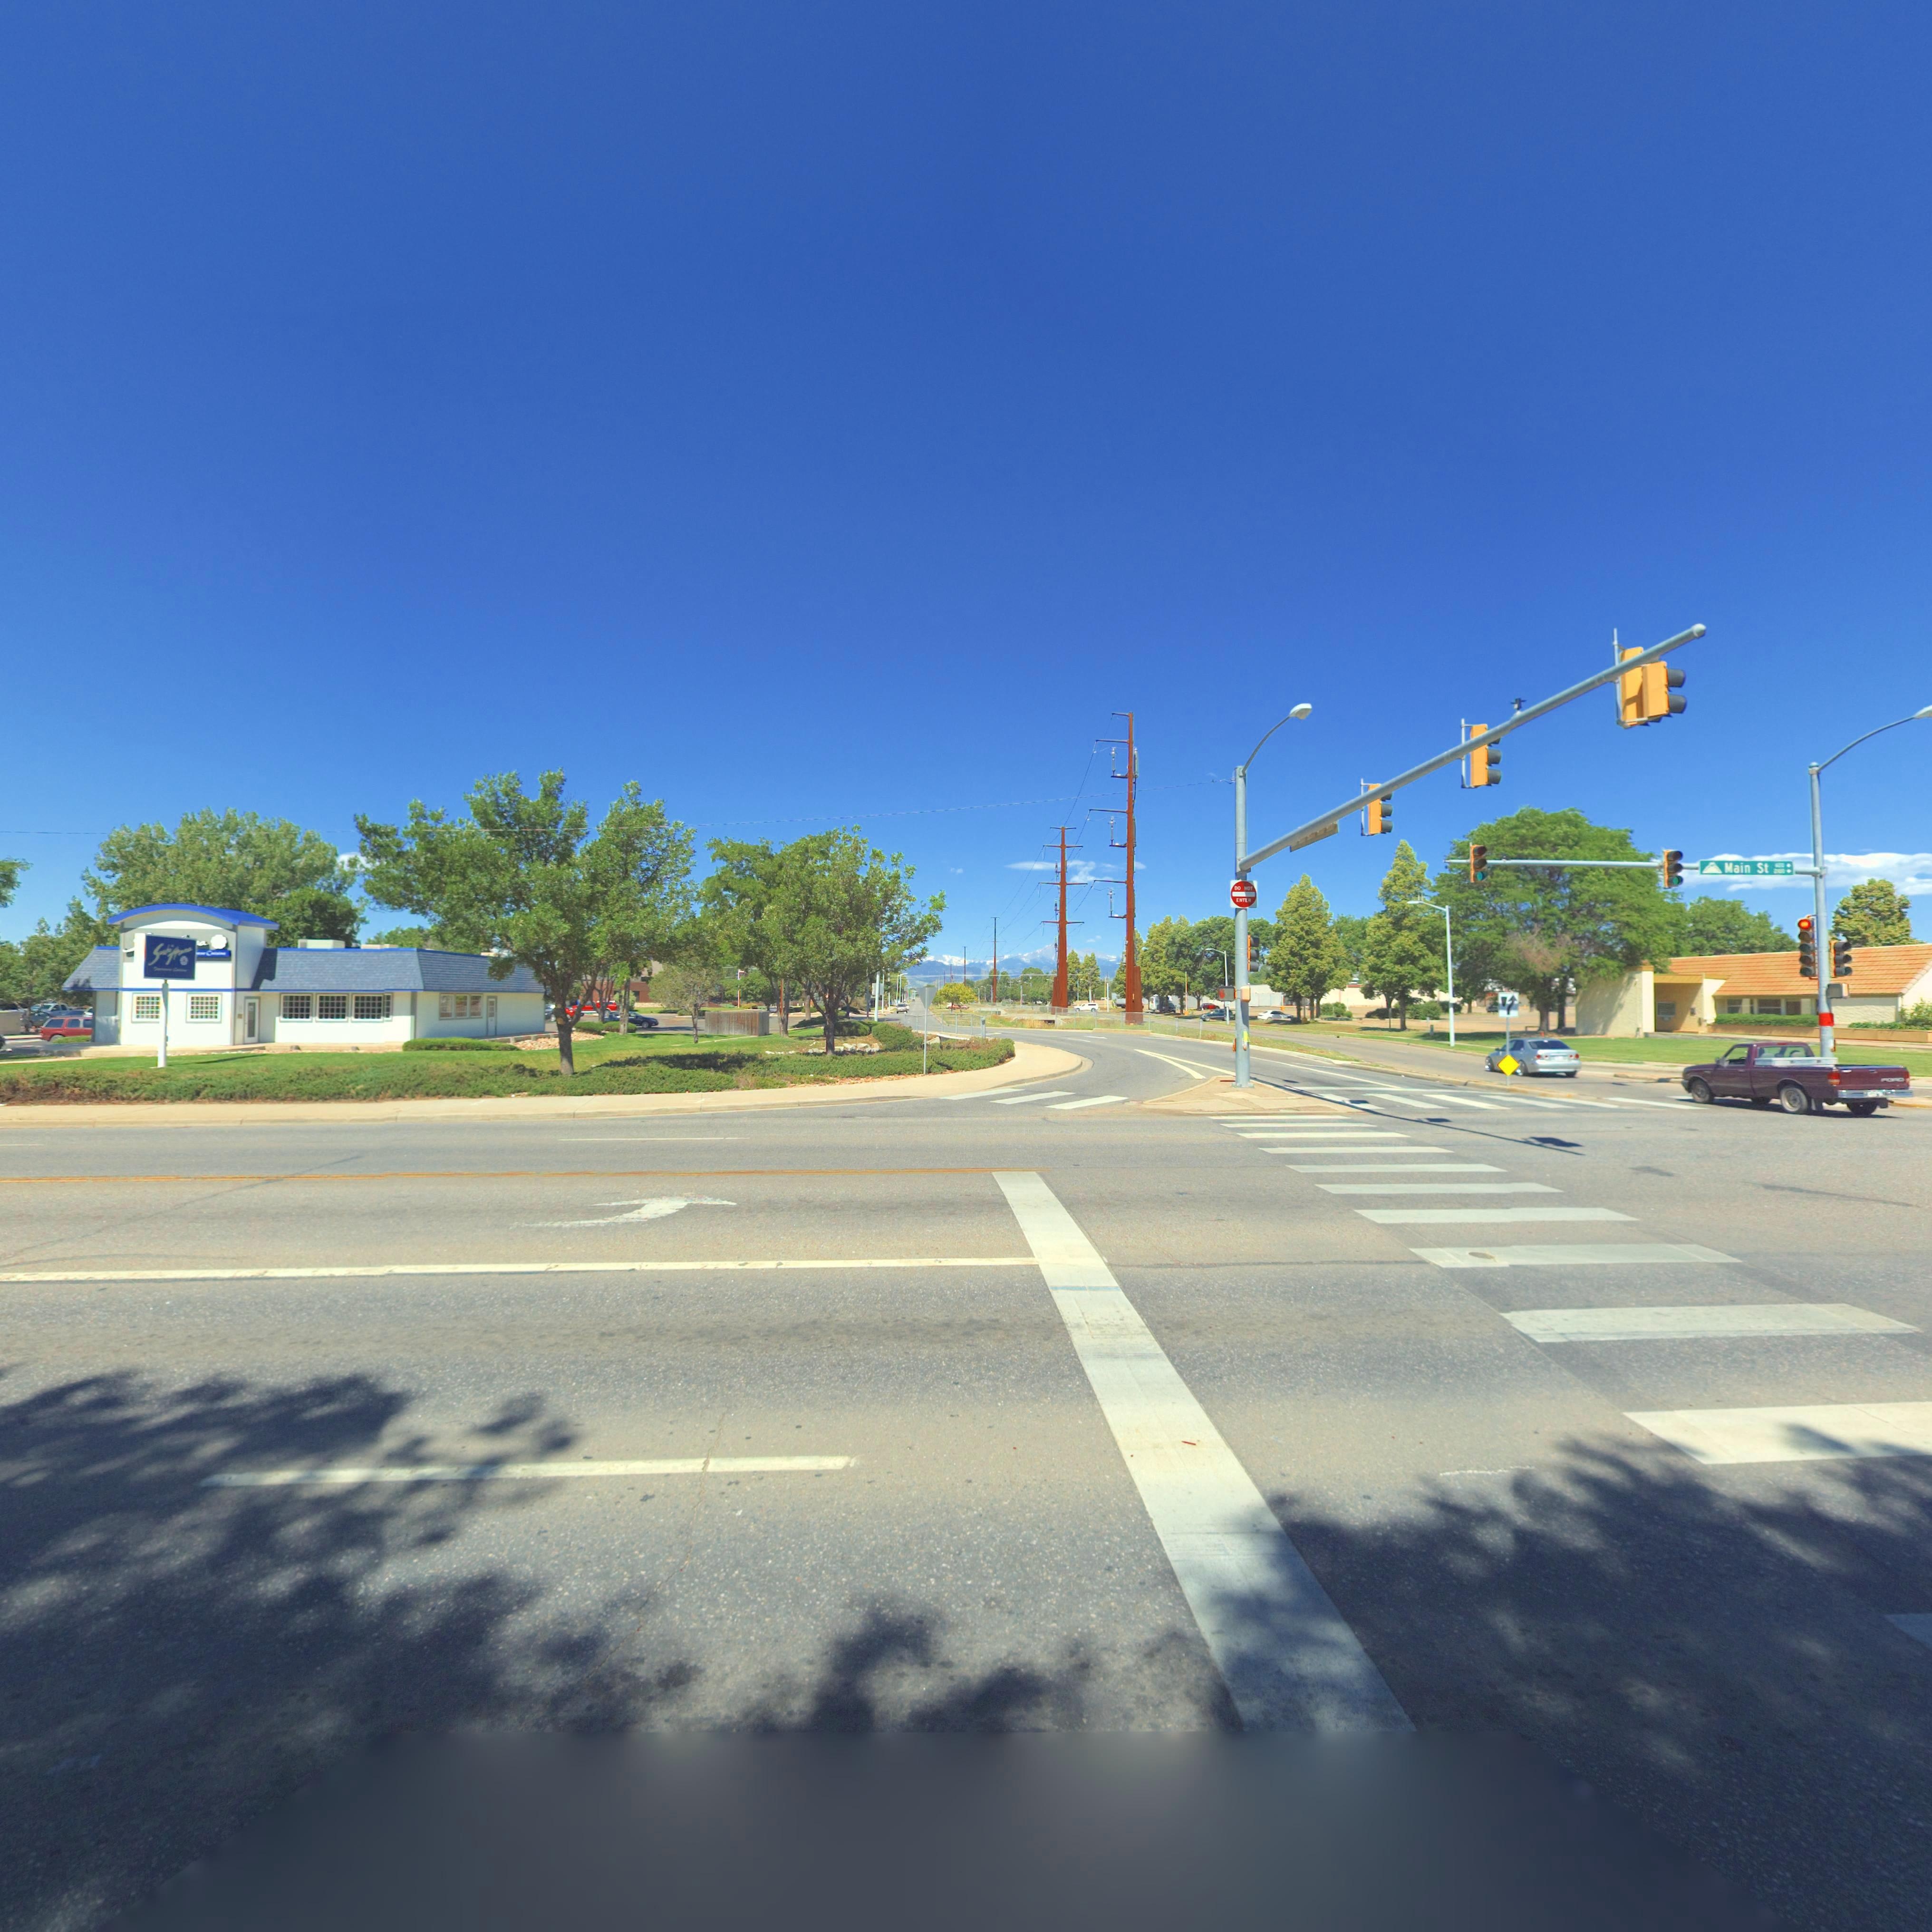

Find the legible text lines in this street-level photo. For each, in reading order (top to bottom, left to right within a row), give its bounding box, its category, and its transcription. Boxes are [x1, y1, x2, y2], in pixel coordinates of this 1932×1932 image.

[1725, 862, 1768, 873] StreetName: Matn St